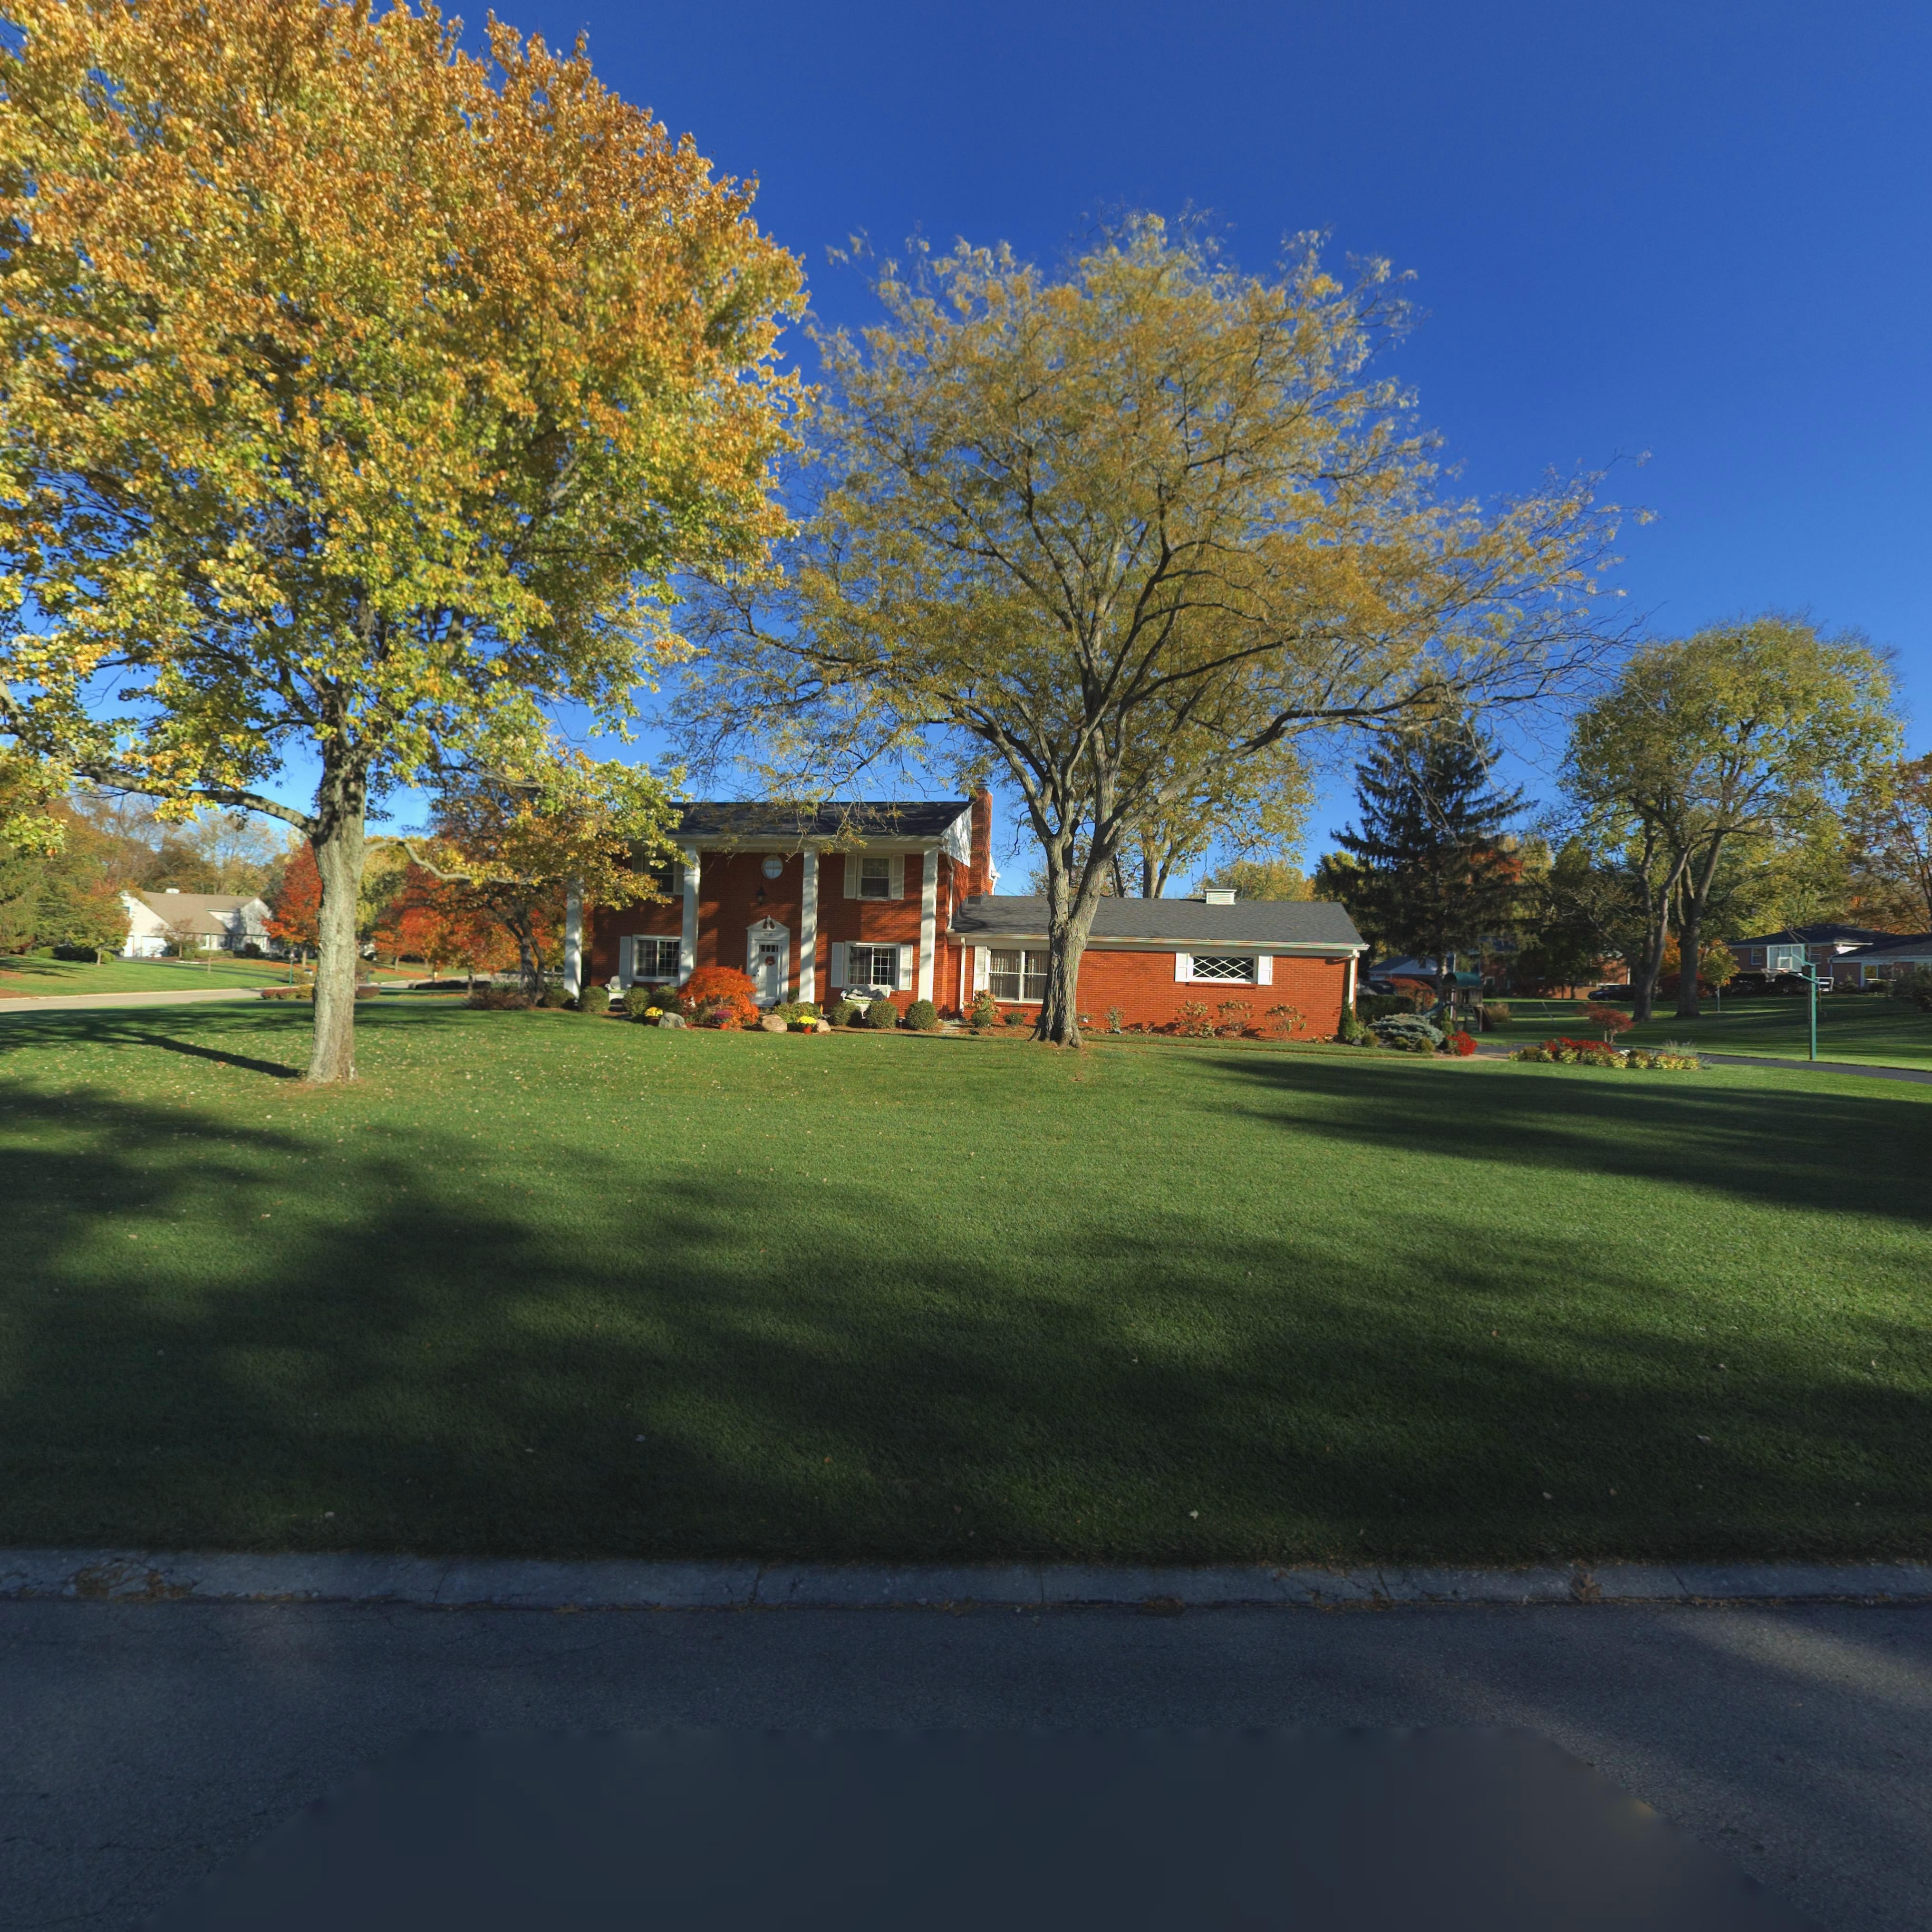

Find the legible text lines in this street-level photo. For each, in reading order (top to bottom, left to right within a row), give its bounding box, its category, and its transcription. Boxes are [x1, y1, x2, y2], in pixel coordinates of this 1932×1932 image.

[763, 932, 773, 937] StreetNumber: 5830